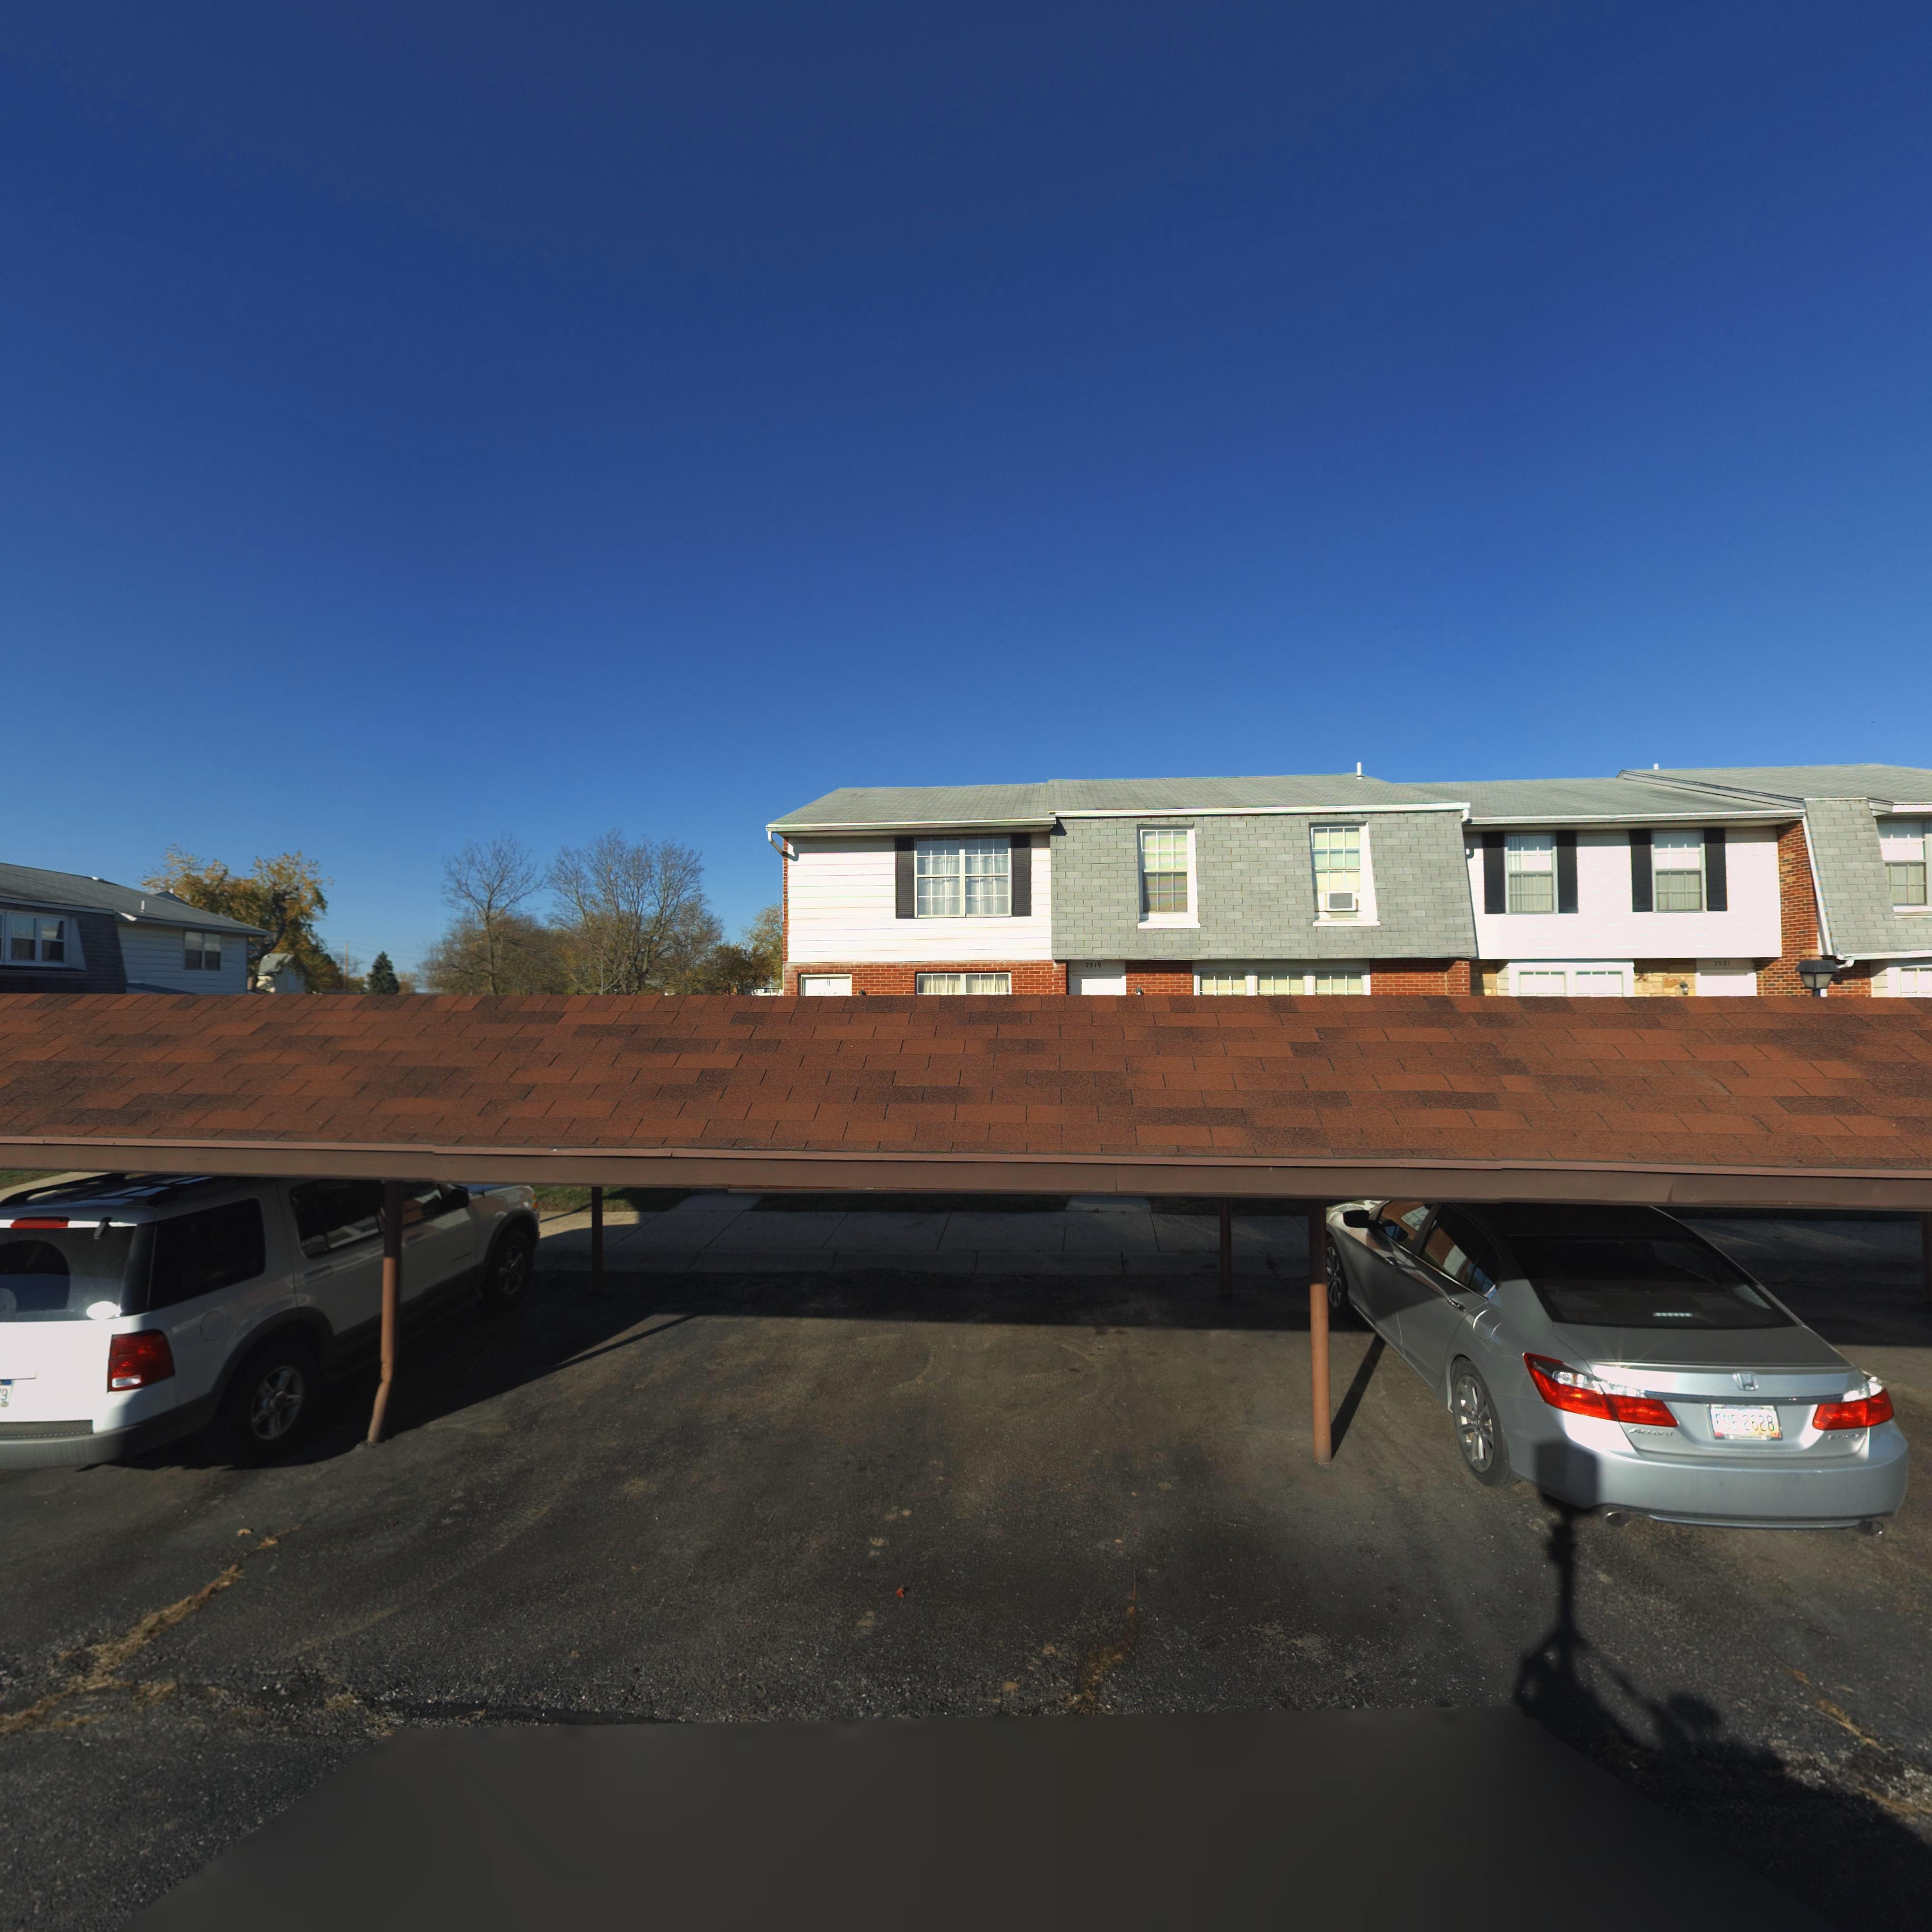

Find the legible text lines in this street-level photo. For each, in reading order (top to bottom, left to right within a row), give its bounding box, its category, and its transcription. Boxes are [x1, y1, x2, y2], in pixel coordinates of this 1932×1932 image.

[1084, 962, 1101, 968] StreetNumber: 7519
[1713, 959, 1730, 966] StreetNumber: 7521
[817, 991, 837, 996] StreetNumber: 7517